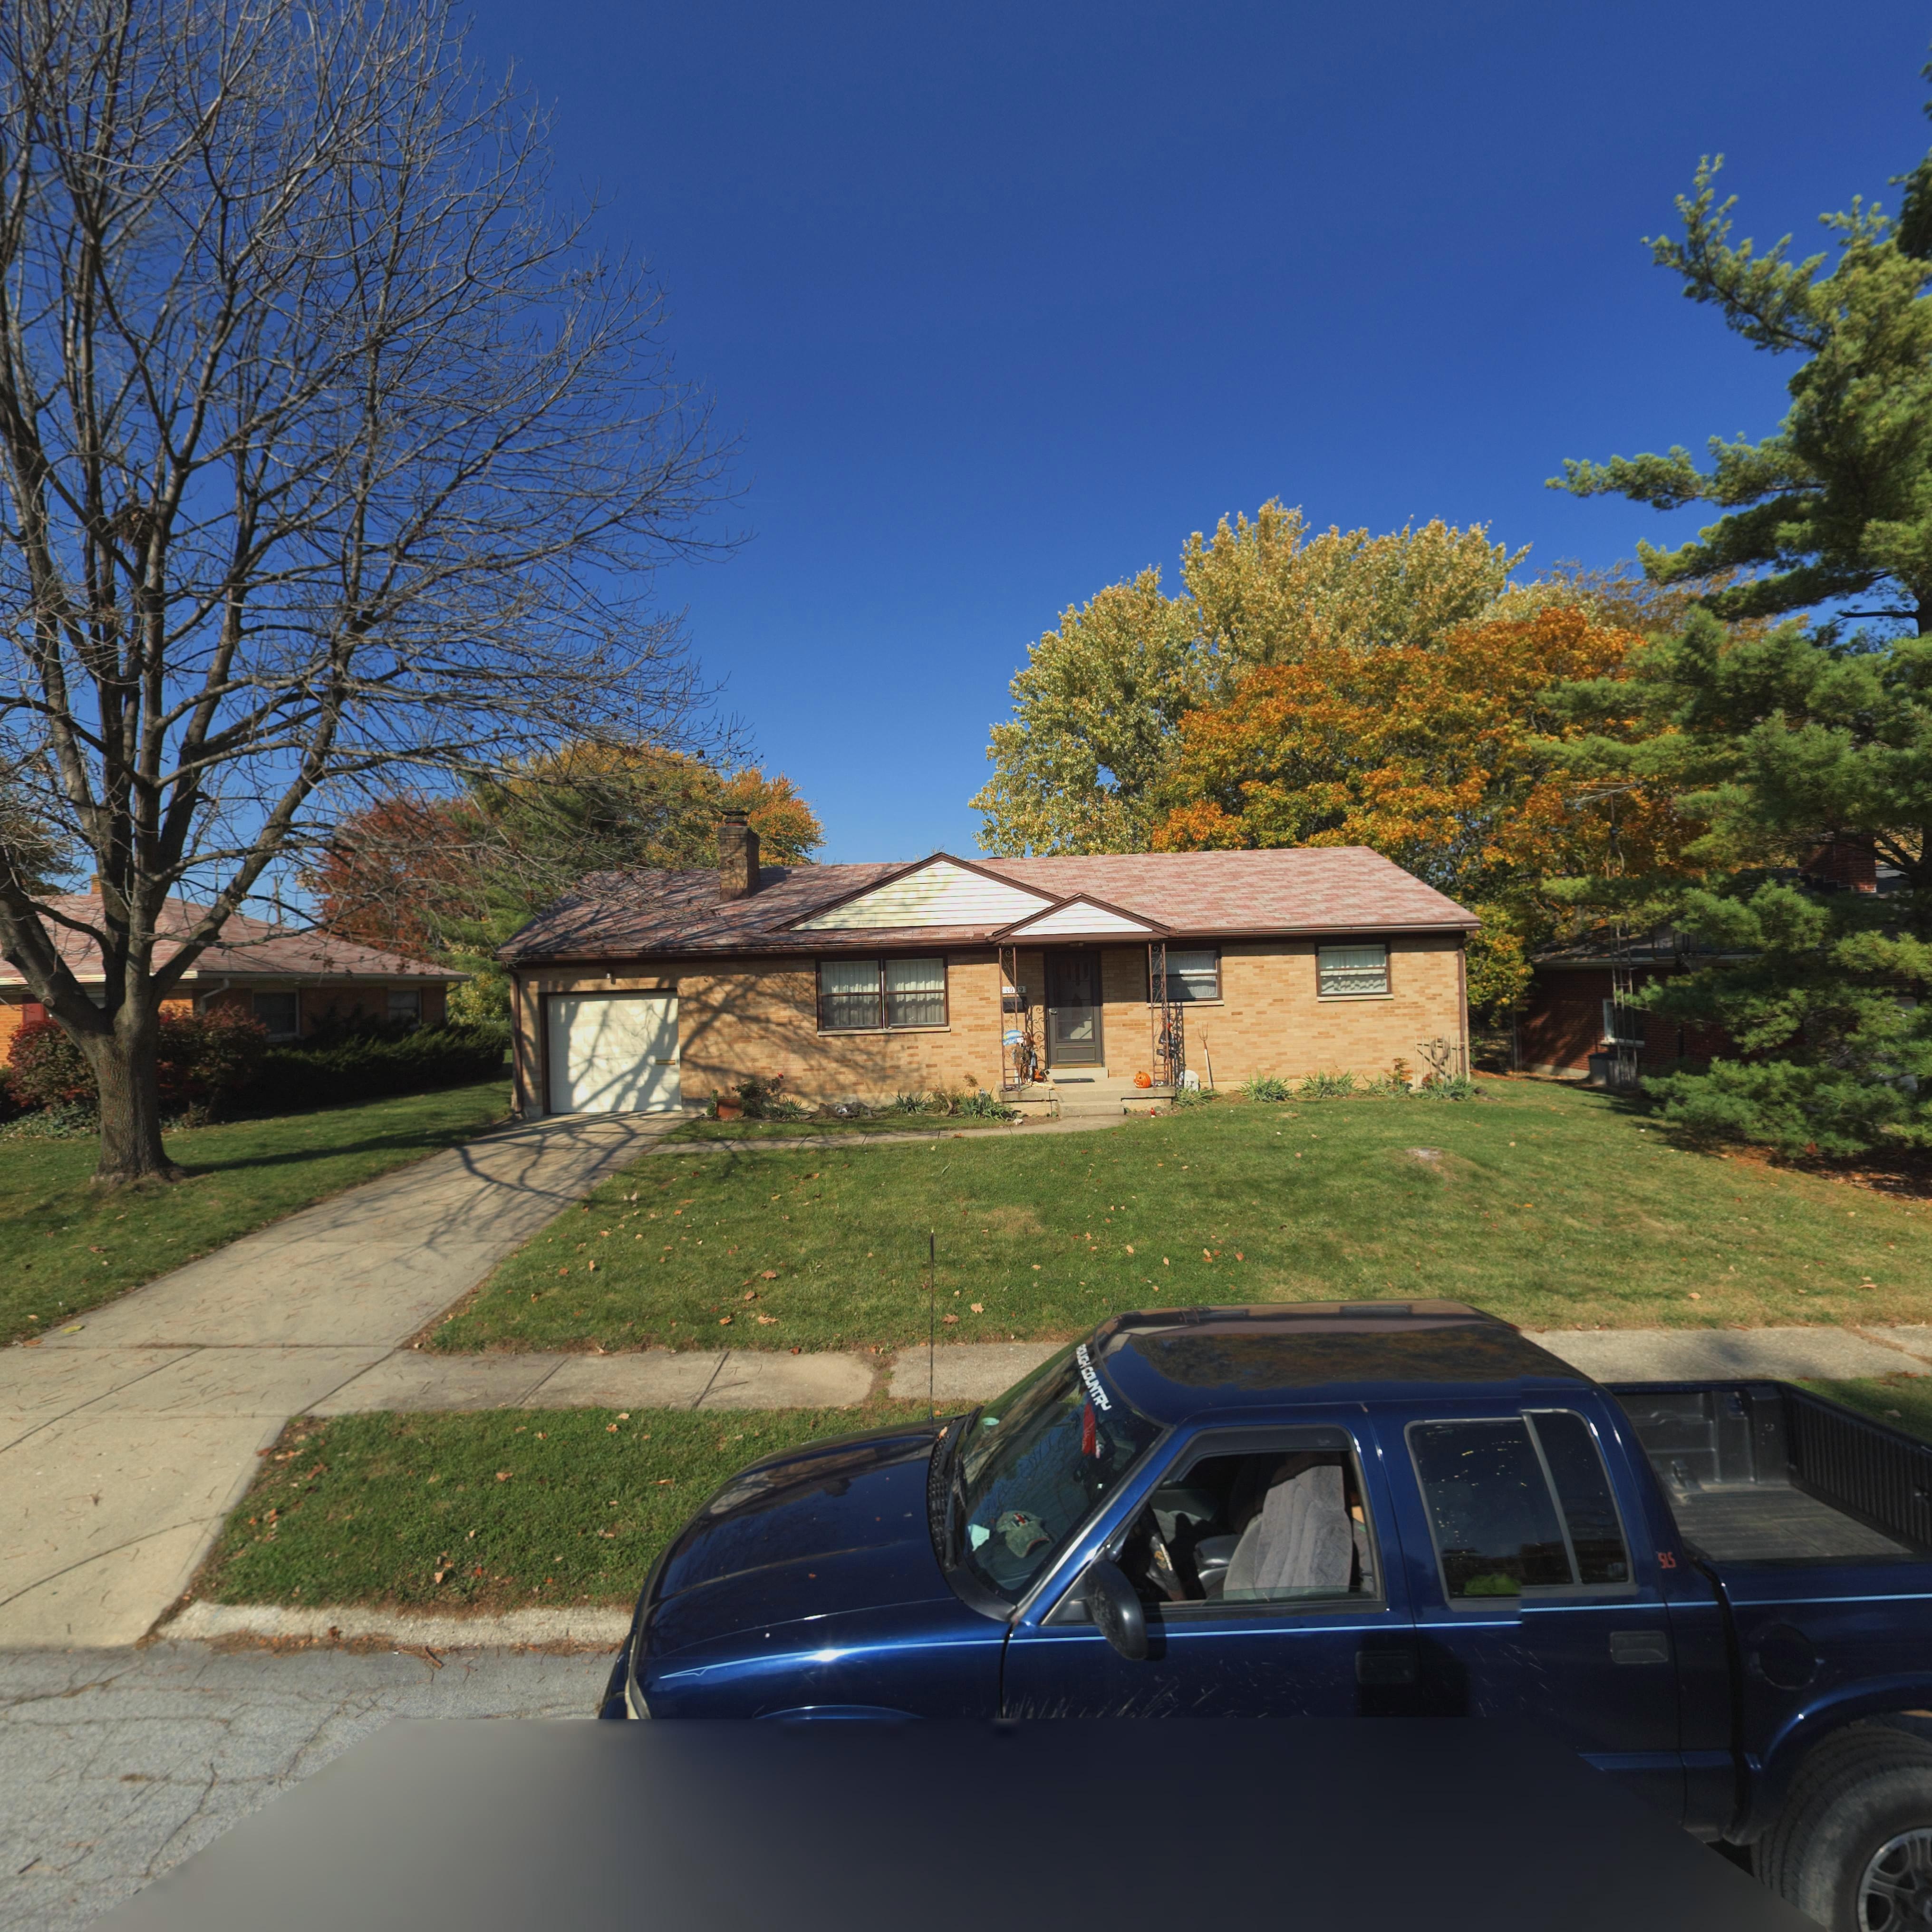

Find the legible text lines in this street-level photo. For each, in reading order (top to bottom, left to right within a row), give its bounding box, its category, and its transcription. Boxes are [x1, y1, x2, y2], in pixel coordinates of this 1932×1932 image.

[1005, 986, 1023, 993] StreetNumber: 10*9
[1657, 1551, 1678, 1570] None: SLS